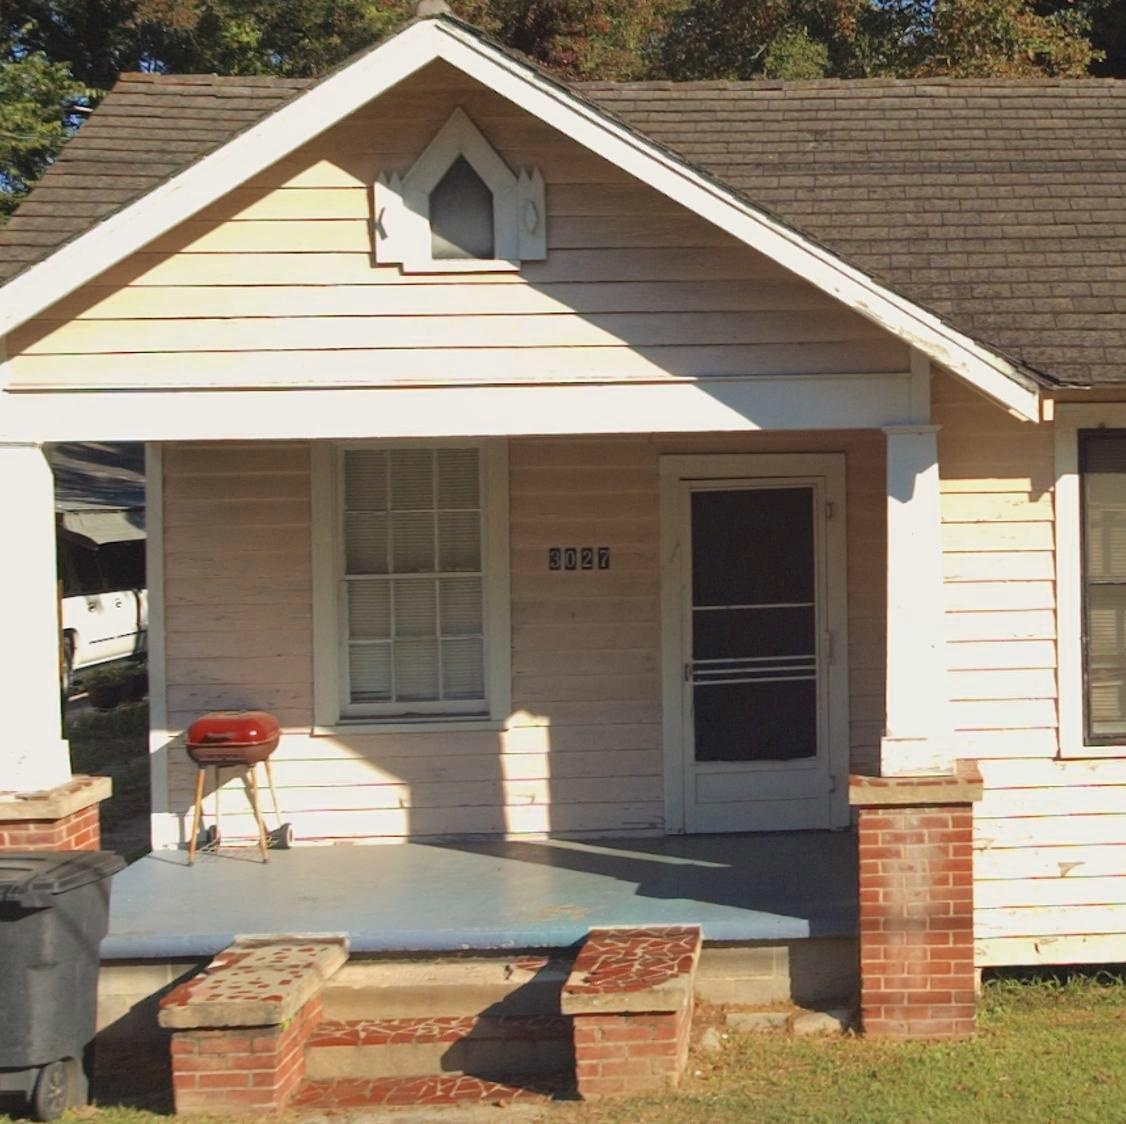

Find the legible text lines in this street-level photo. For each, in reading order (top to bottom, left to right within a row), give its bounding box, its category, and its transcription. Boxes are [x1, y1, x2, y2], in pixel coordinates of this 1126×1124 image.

[548, 547, 611, 570] StreetNumber: 3027